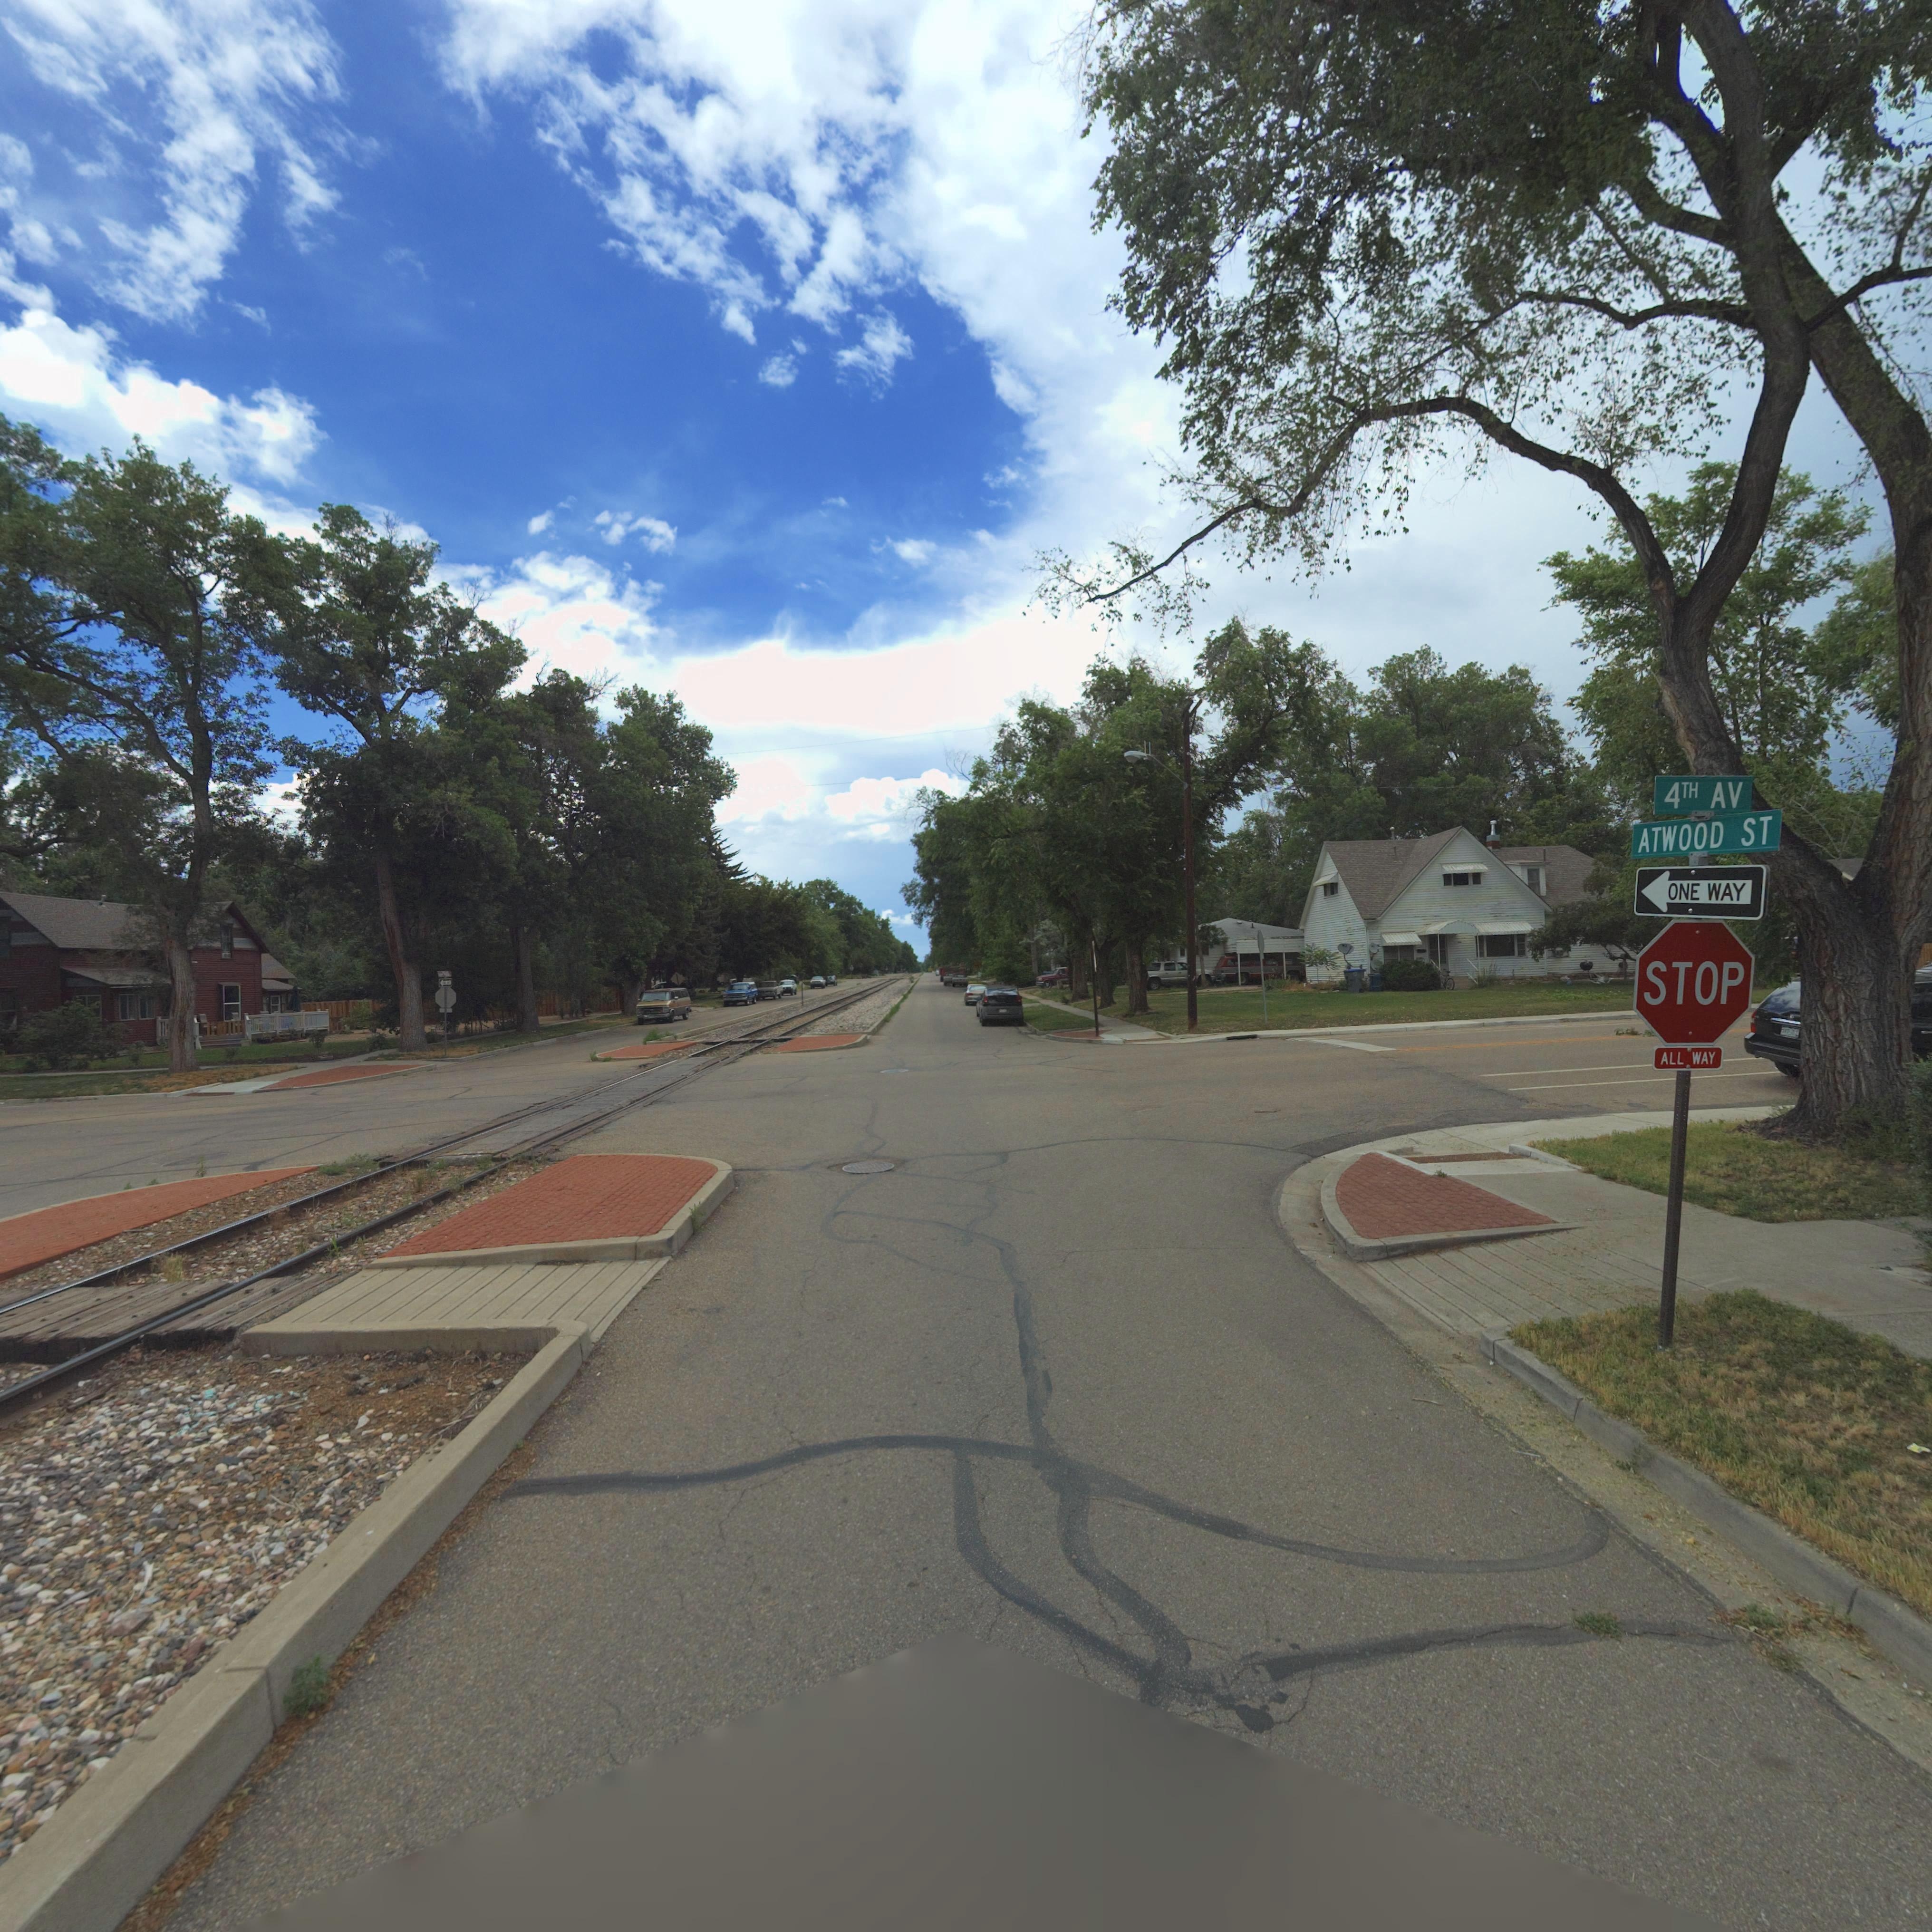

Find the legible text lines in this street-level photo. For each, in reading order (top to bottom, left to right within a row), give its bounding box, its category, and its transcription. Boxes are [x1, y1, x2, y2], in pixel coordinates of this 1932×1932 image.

[1662, 781, 1745, 810] StreetName: 4TH AV
[1637, 815, 1773, 854] BusinessName: ATWOOD ST